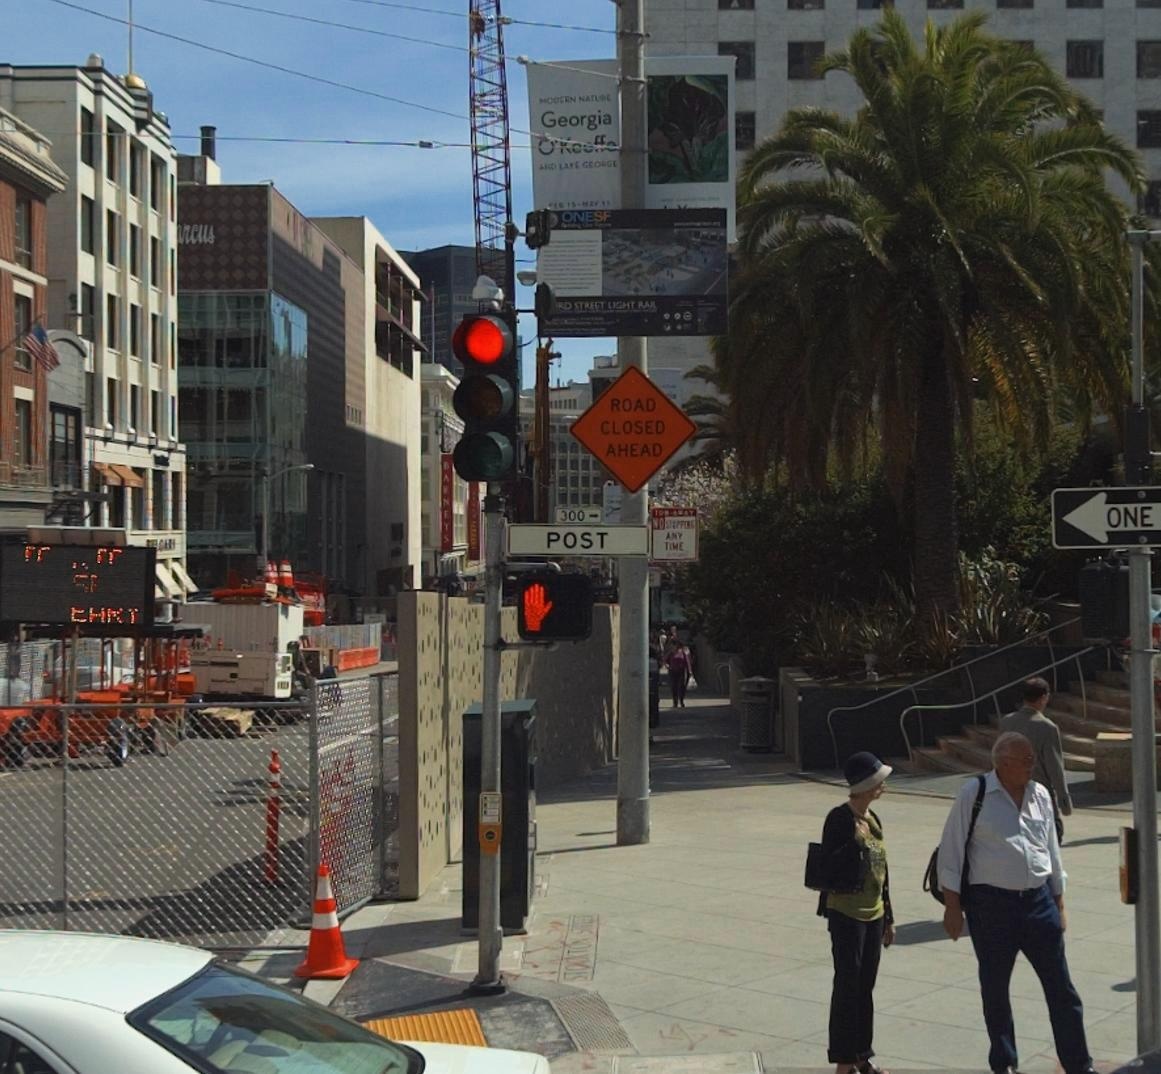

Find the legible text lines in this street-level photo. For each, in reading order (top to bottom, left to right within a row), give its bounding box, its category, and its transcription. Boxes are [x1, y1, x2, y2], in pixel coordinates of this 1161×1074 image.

[538, 106, 615, 133] None: Georgia
[558, 209, 615, 225] None: ONESF
[179, 221, 218, 247] BusinessName: rcus
[562, 299, 659, 312] None: D STRE*T LIGHT RAI*
[609, 395, 659, 415] None: ROAD
[598, 417, 669, 438] None: CLOSED
[602, 440, 666, 461] None: AHEAD
[441, 459, 452, 546] None: BARNEYS
[557, 507, 602, 523] StreetNumberRange: 300->
[656, 515, 667, 531] None: O
[1104, 503, 1157, 531] None: ONE
[544, 529, 611, 552] StreetName: POST
[663, 529, 686, 543] None: ANY
[662, 539, 687, 553] None: TIME